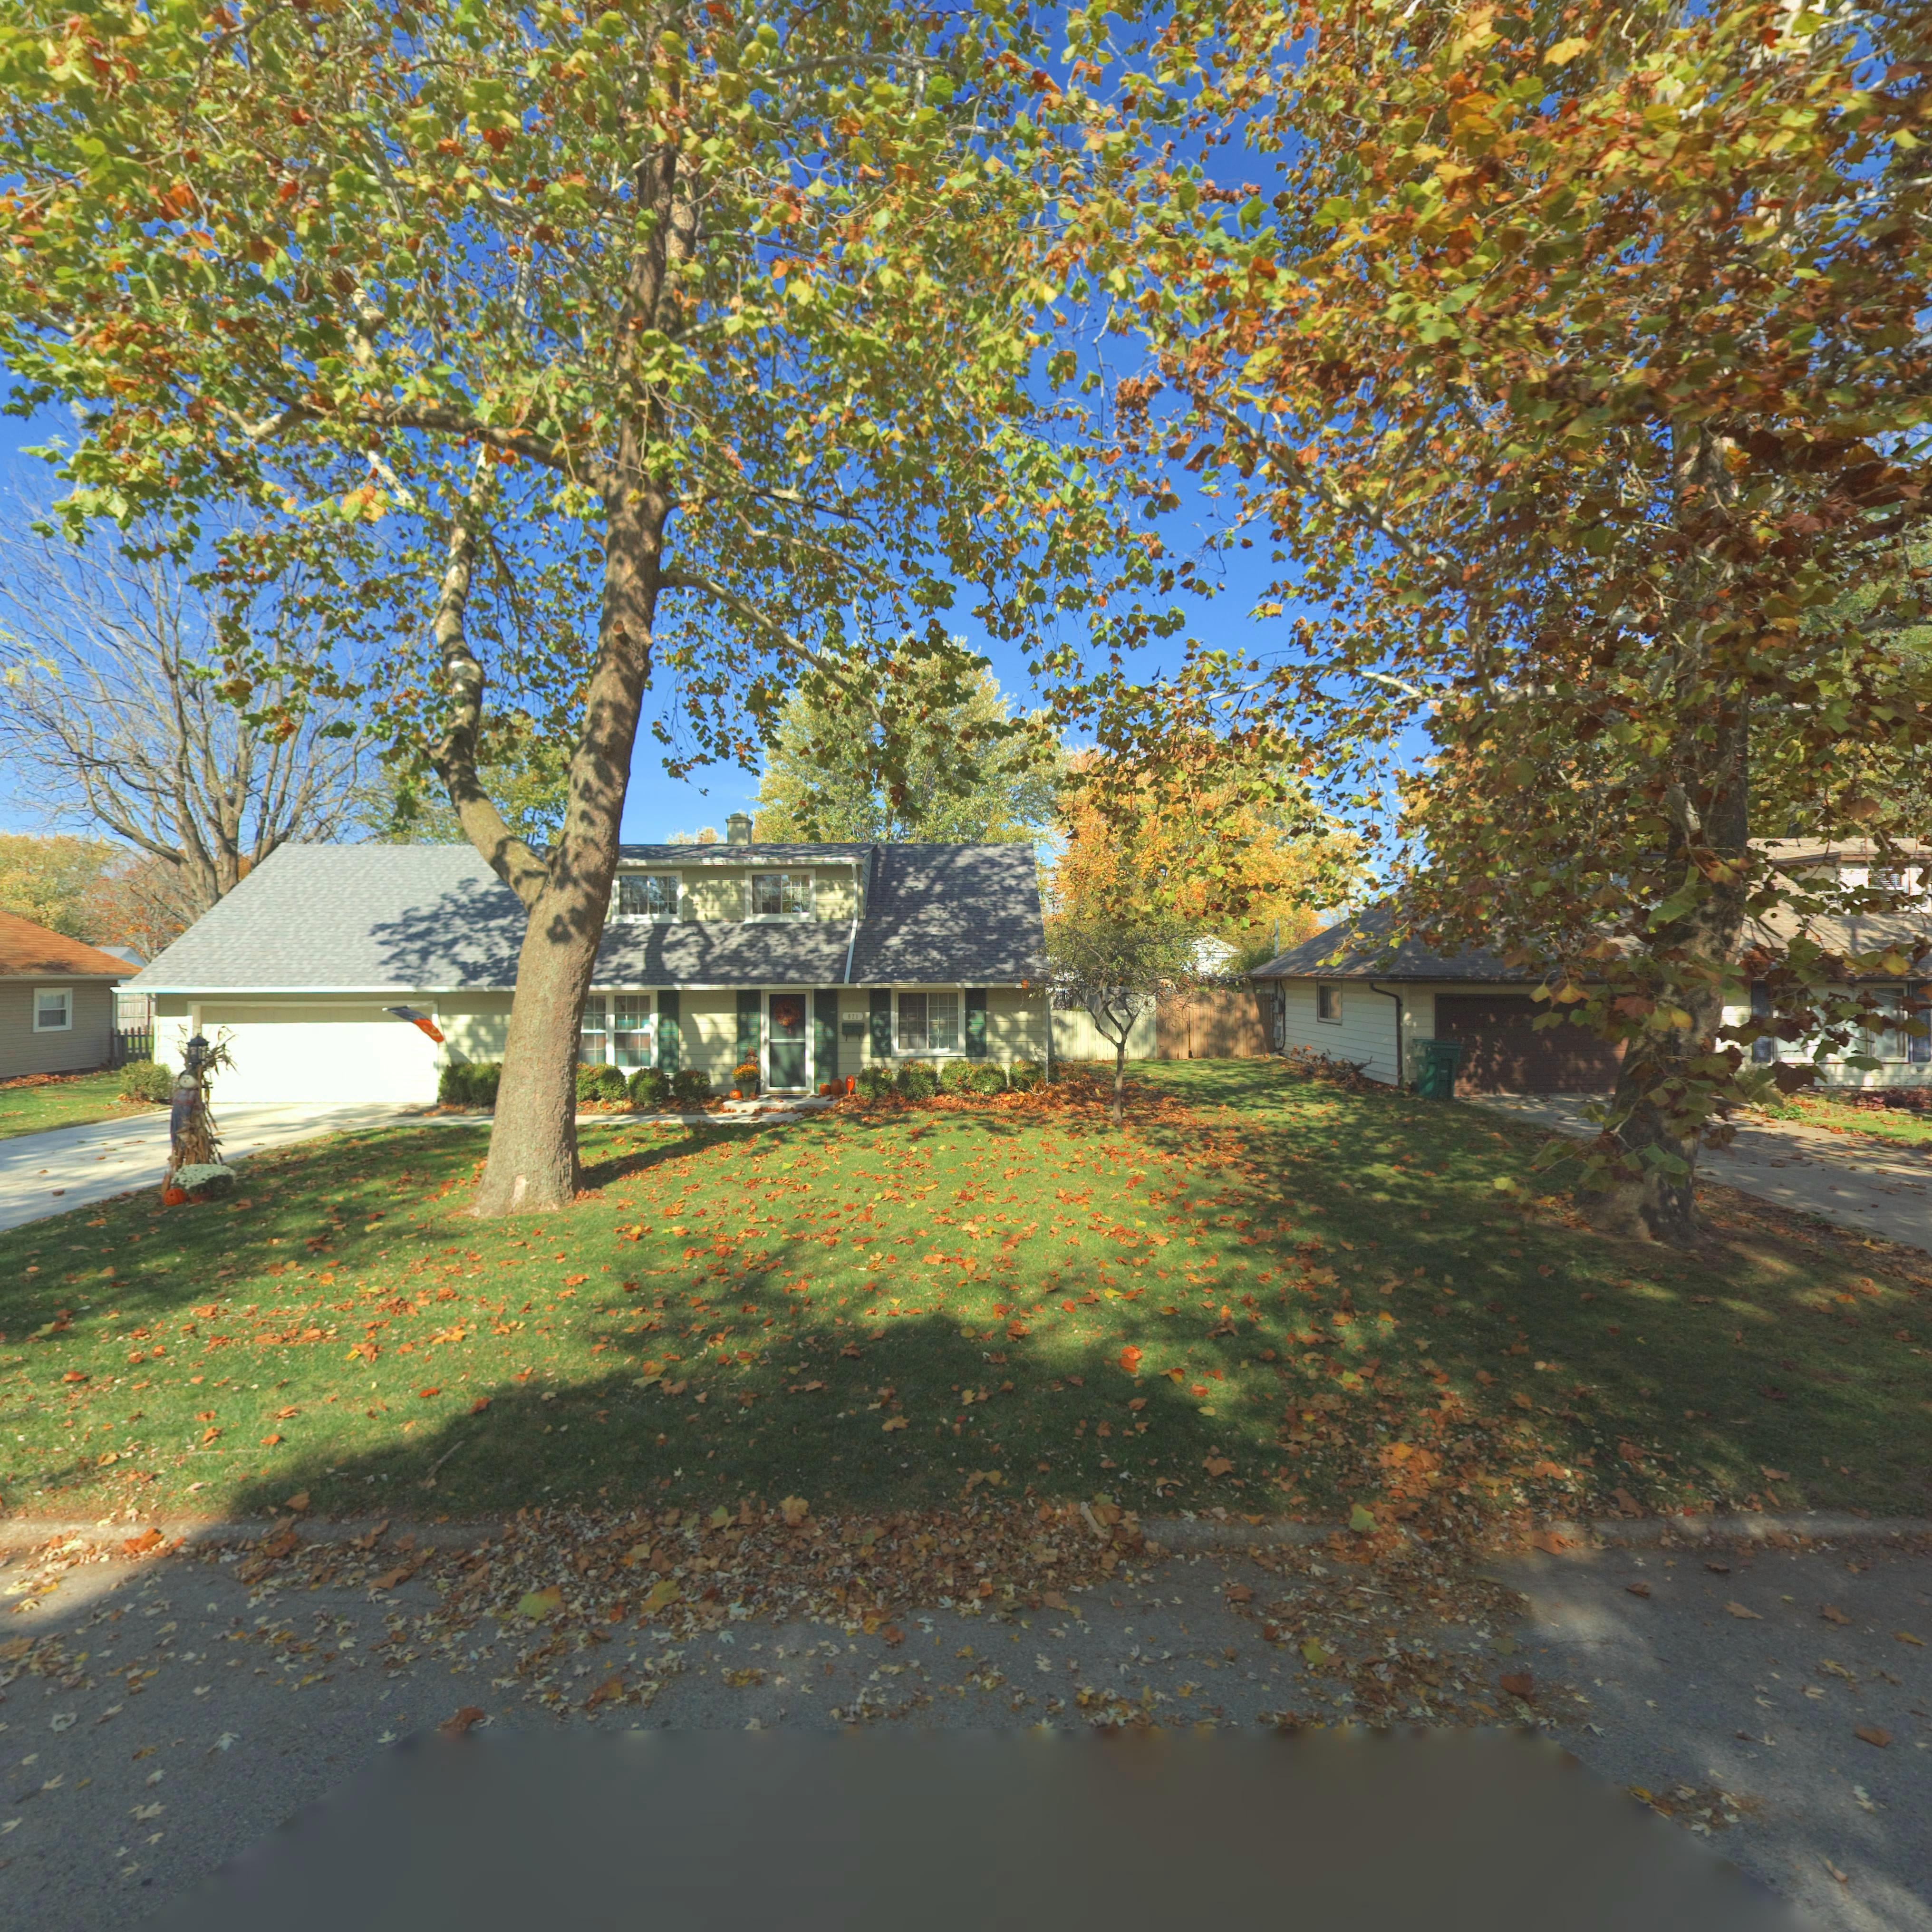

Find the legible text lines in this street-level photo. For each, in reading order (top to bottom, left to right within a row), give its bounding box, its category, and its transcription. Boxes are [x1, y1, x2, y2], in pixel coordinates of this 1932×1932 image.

[847, 1013, 859, 1020] StreetNumber: 821